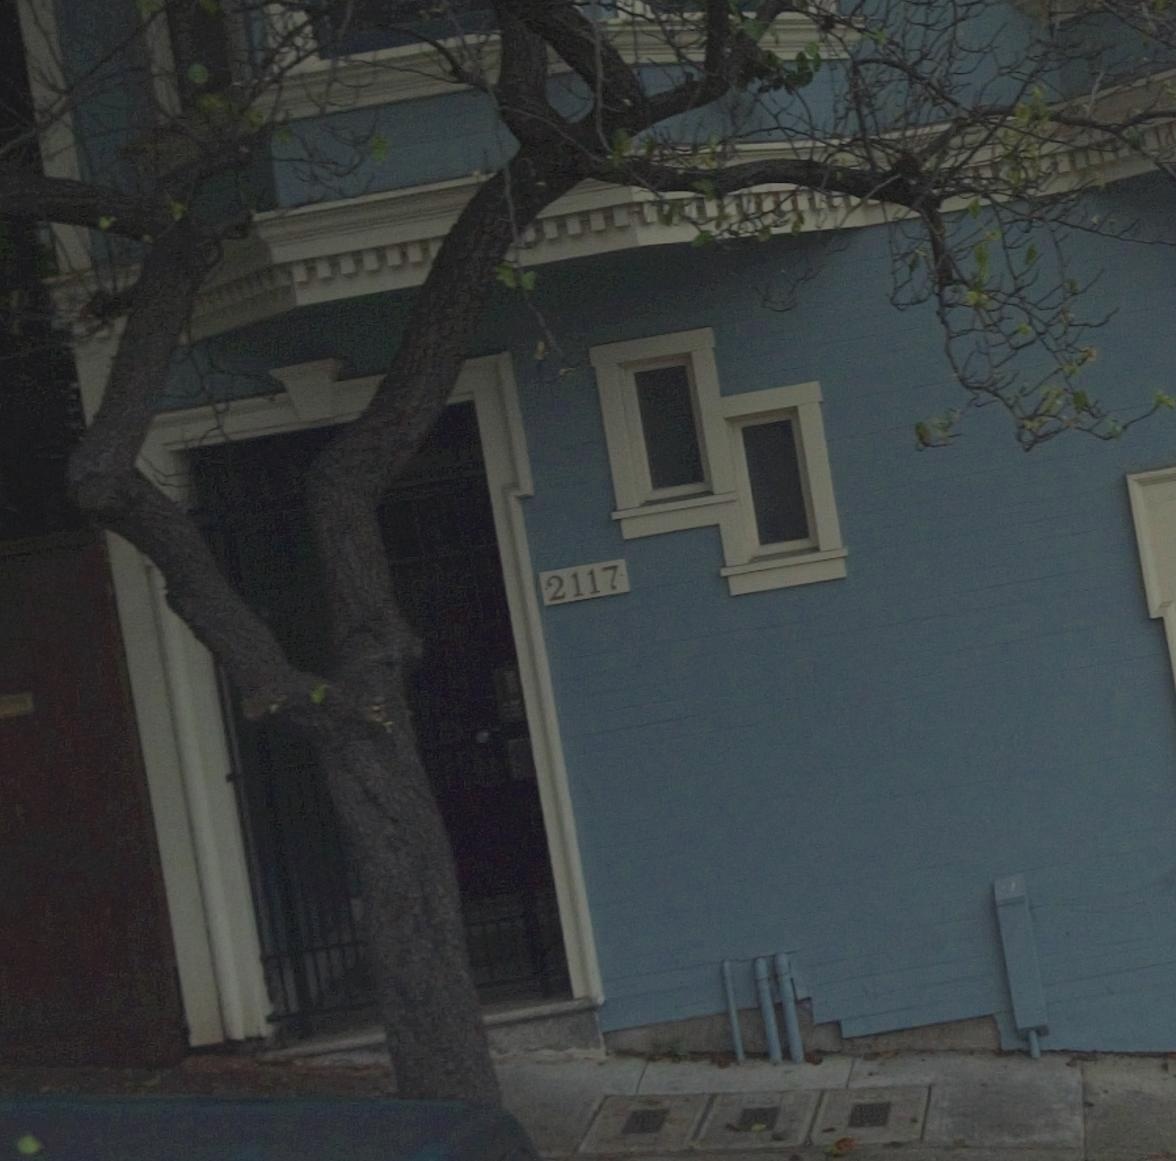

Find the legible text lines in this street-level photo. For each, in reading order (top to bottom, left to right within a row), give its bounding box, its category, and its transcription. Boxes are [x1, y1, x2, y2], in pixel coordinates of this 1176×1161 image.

[545, 562, 619, 603] StreetNumber: 2117